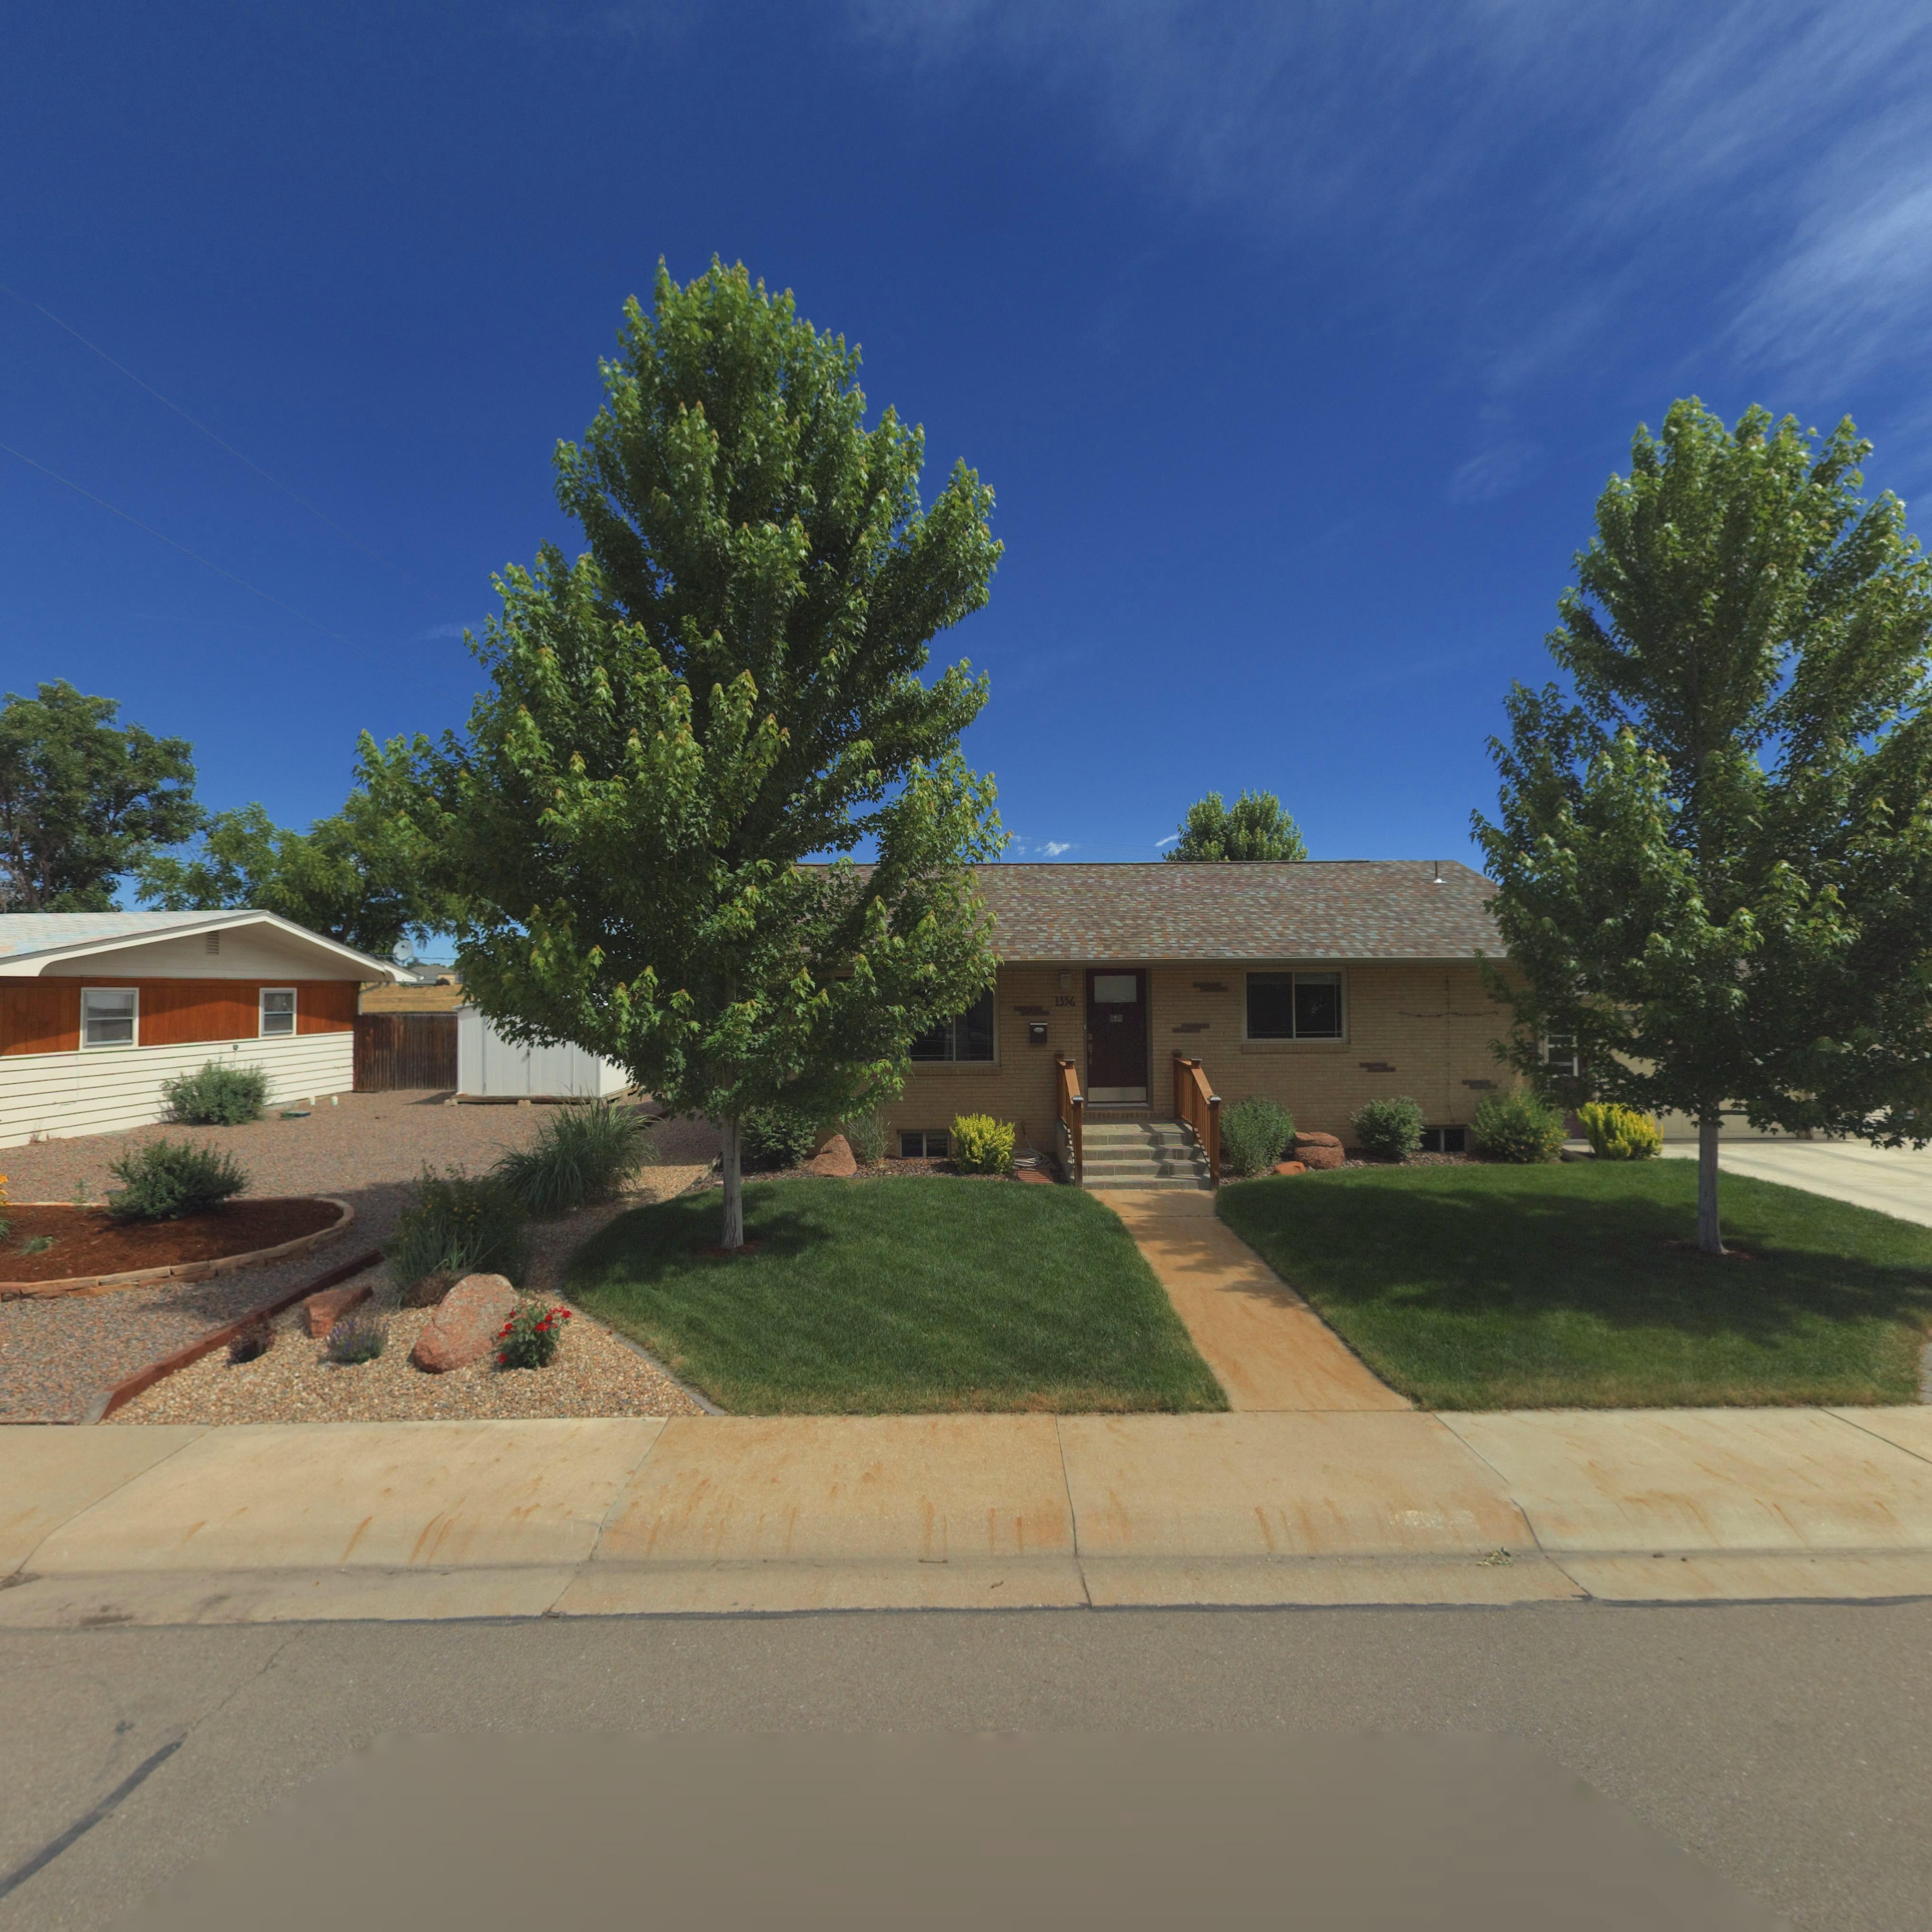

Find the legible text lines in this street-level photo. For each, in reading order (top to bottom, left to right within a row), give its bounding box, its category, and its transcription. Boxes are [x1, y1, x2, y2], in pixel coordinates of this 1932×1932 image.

[1054, 995, 1075, 1006] StreetNumber: 1356